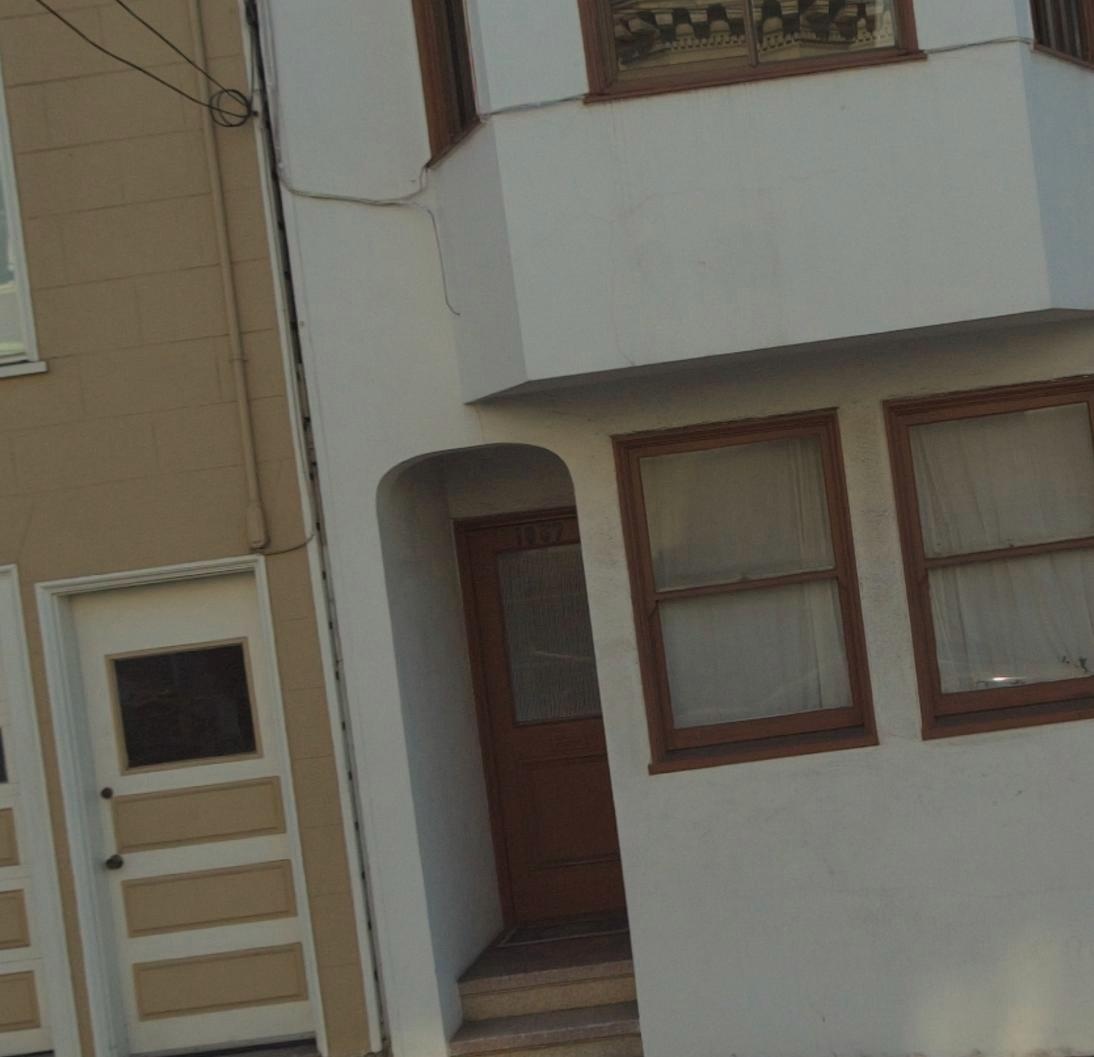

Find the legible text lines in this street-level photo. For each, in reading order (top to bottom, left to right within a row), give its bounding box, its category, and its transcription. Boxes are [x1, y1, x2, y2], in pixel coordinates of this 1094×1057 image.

[512, 517, 567, 551] StreetNumber: 1857